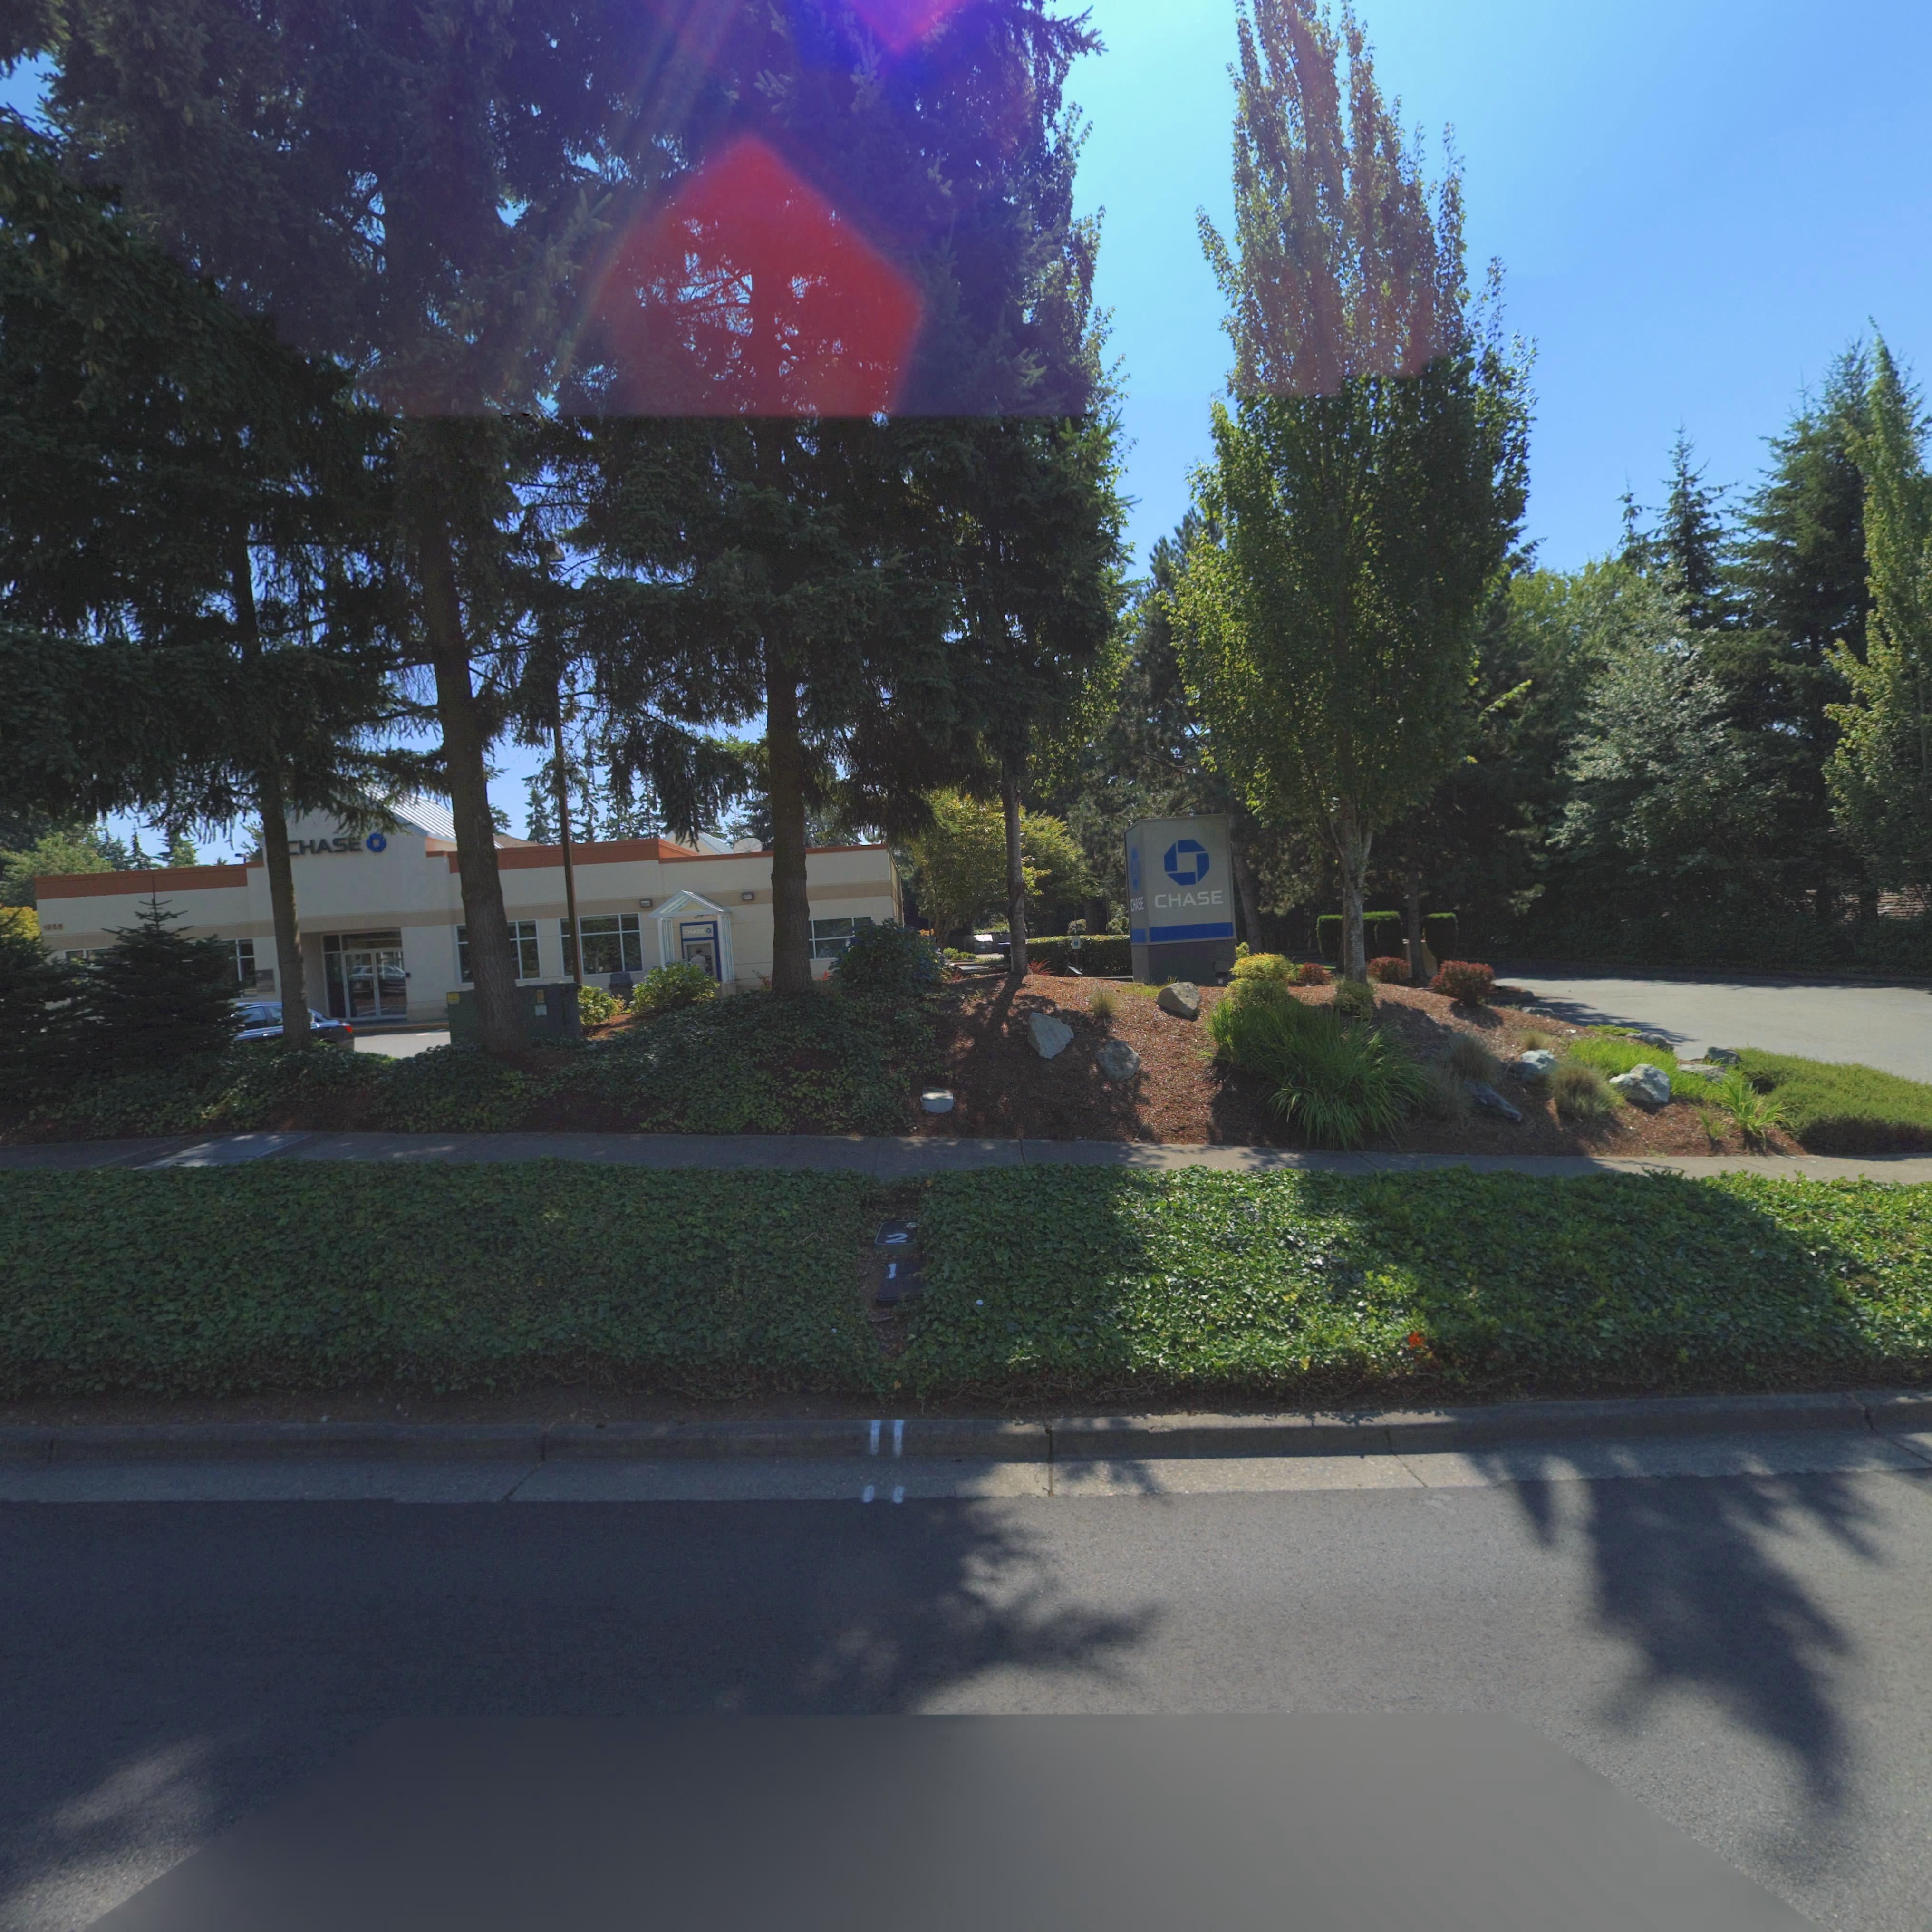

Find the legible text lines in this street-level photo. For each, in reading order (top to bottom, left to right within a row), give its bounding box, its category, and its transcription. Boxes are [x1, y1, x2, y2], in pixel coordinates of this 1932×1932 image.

[286, 834, 363, 856] BusinessName: CHASE
[1130, 896, 1144, 913] BusinessName: CHASE
[1155, 890, 1222, 908] BusinessName: CHASE
[683, 928, 705, 935] BusinessName: CHASE